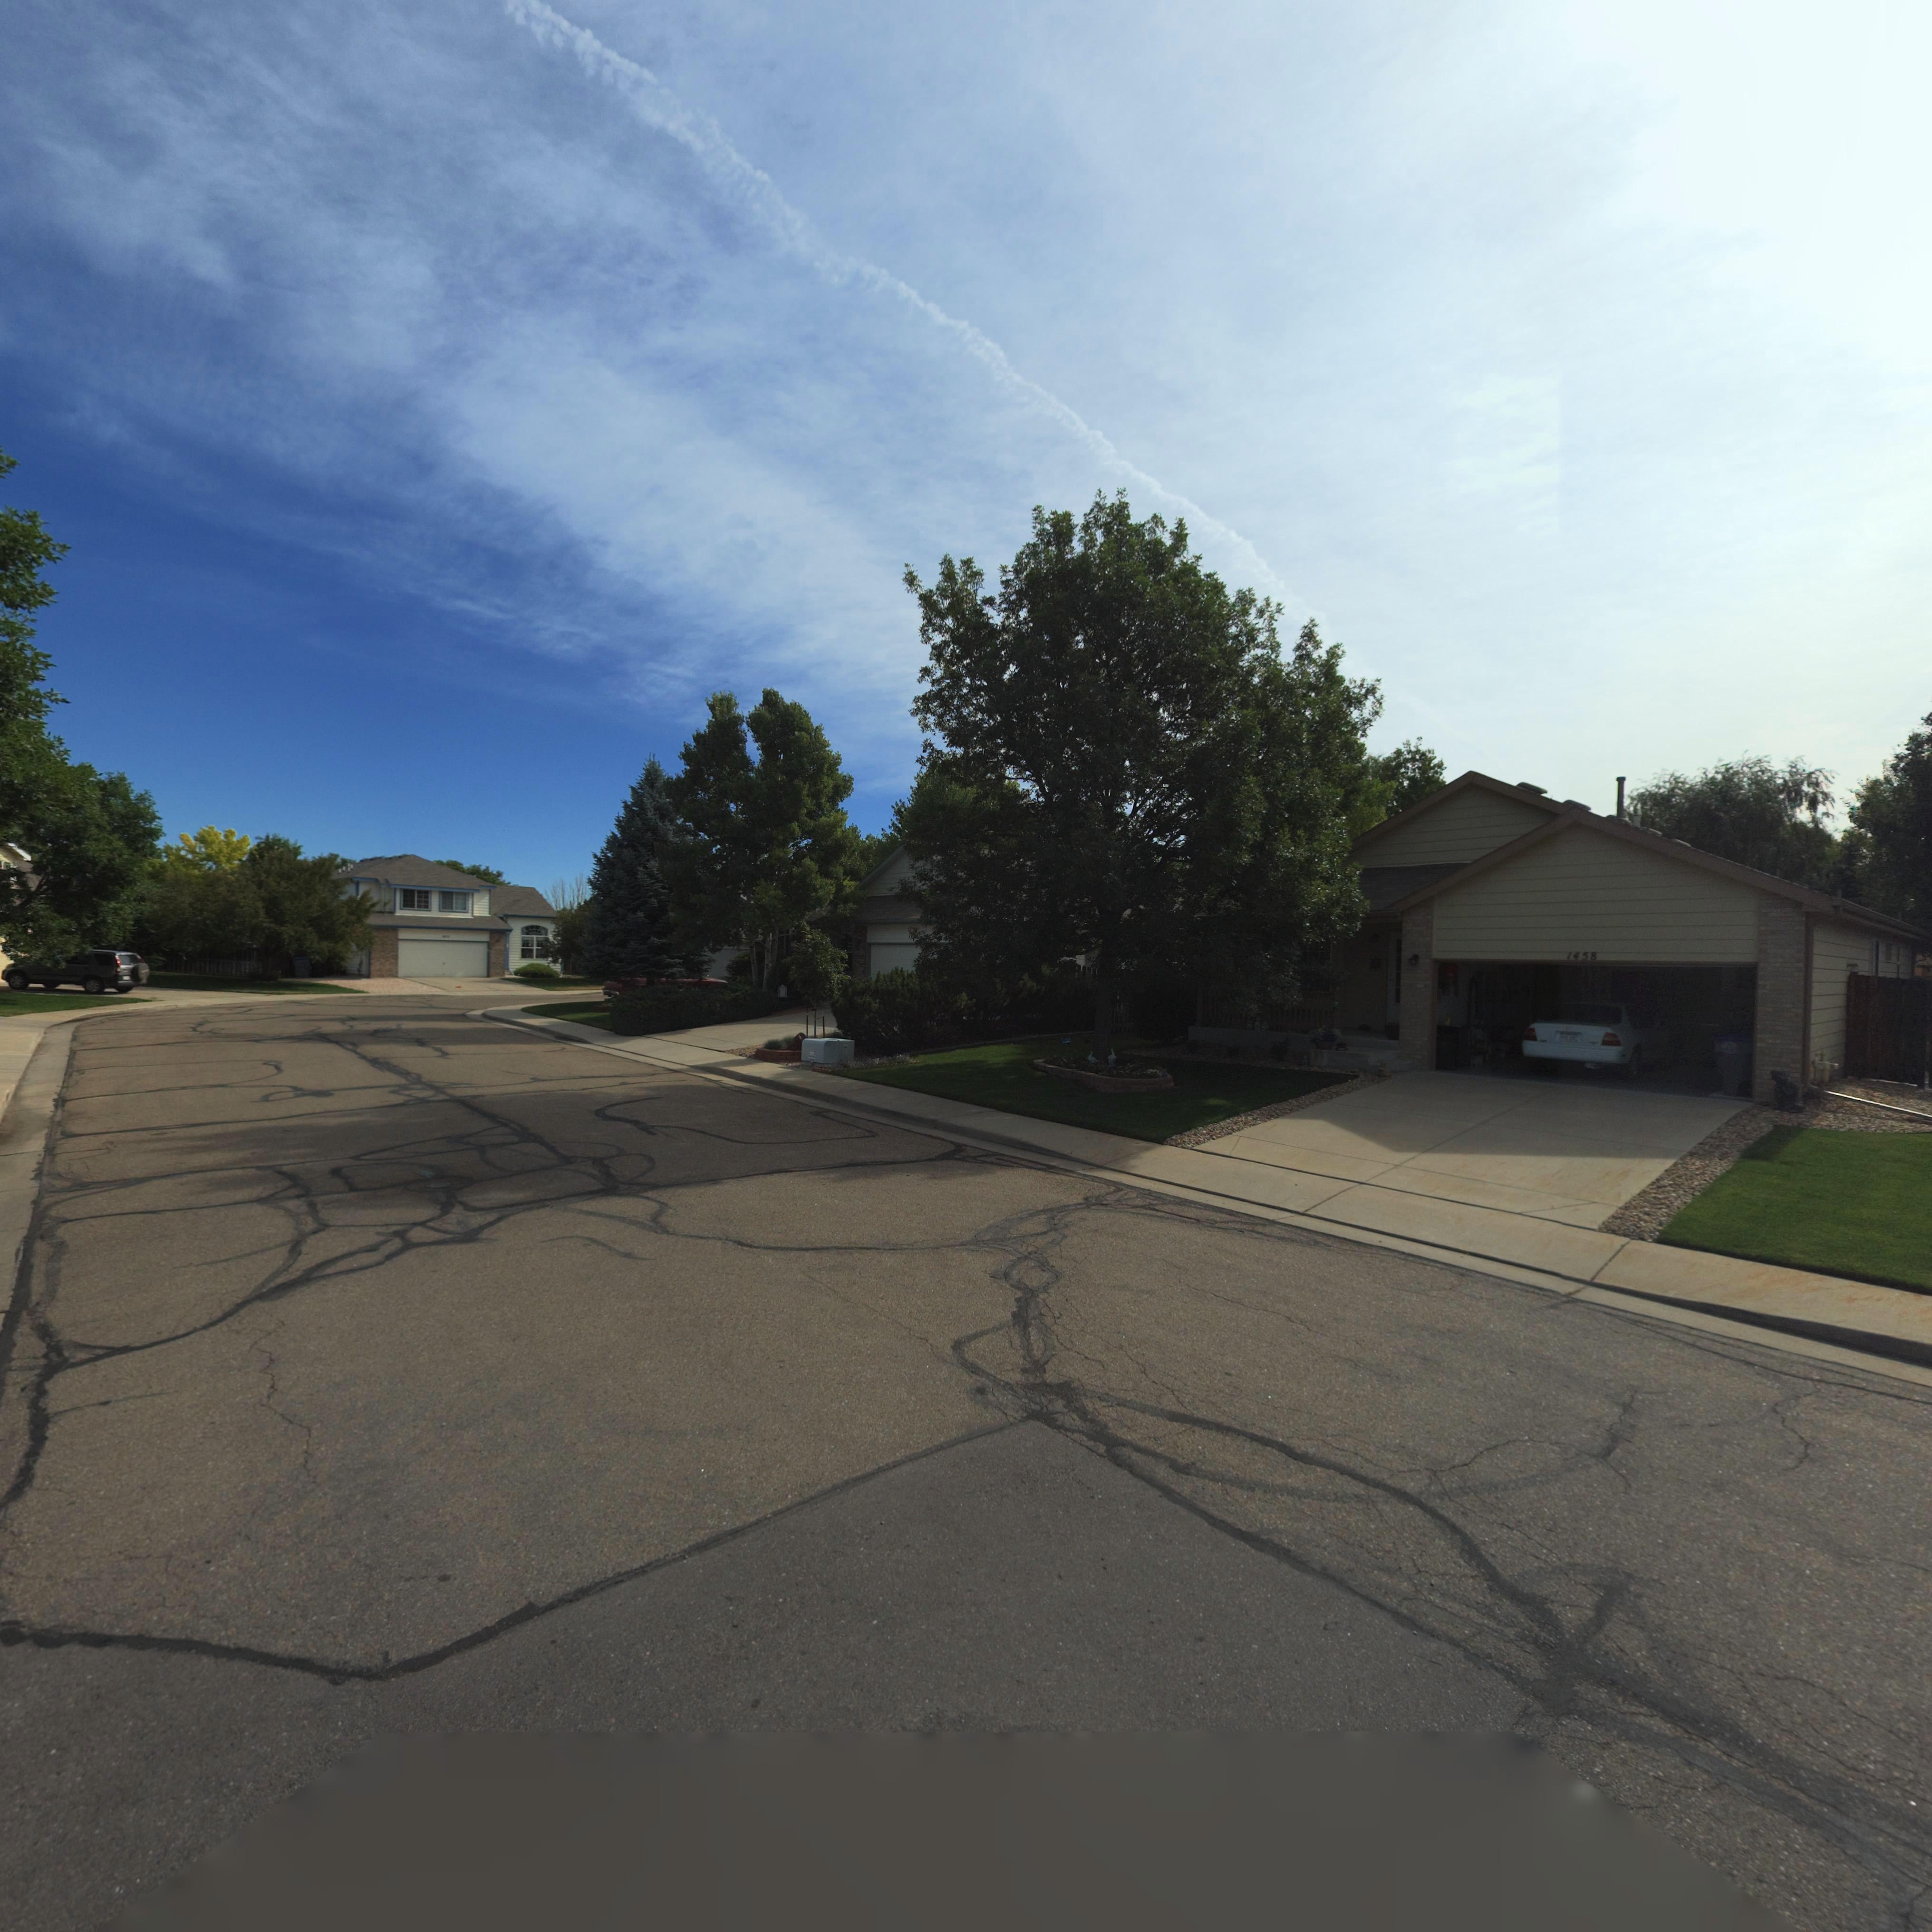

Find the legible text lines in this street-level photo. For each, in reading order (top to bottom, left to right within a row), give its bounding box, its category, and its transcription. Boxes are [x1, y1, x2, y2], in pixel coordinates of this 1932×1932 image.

[440, 935, 450, 938] StreetNumber: 1***
[1565, 949, 1597, 961] StreetNumber: 1458